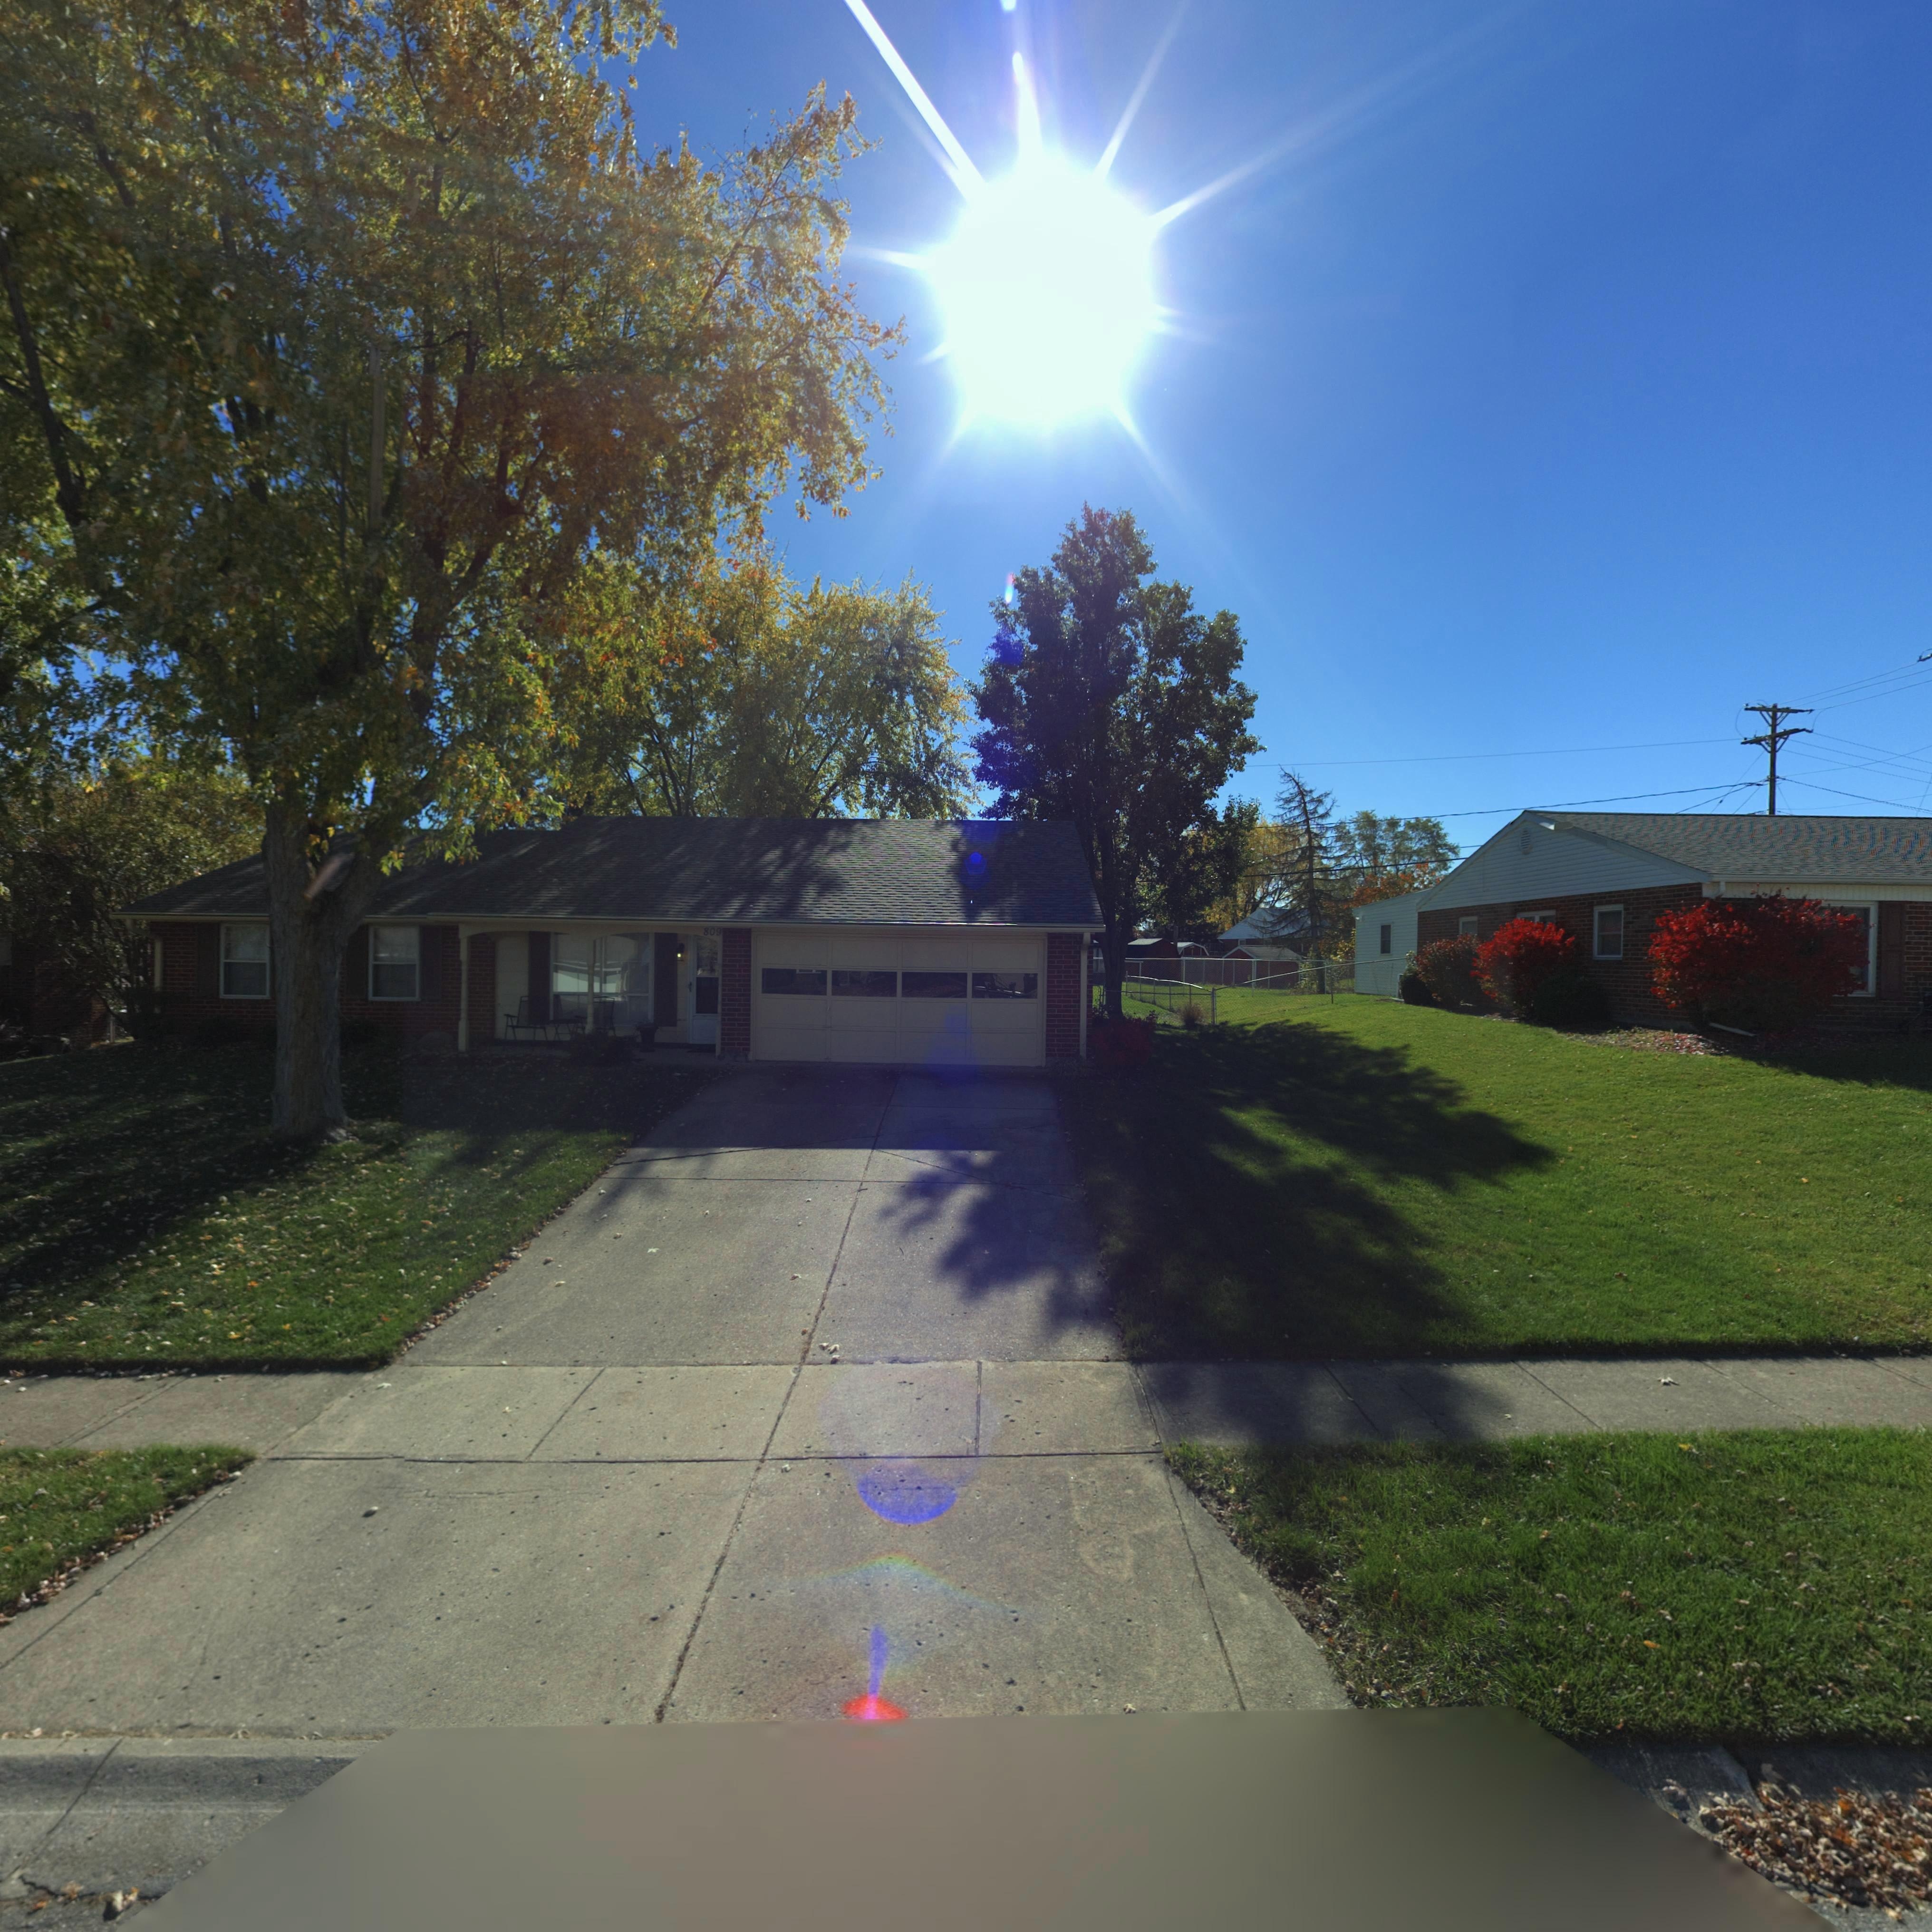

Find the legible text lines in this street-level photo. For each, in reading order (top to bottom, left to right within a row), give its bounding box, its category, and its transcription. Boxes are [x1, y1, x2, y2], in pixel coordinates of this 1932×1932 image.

[703, 927, 722, 936] StreetNumber: 809